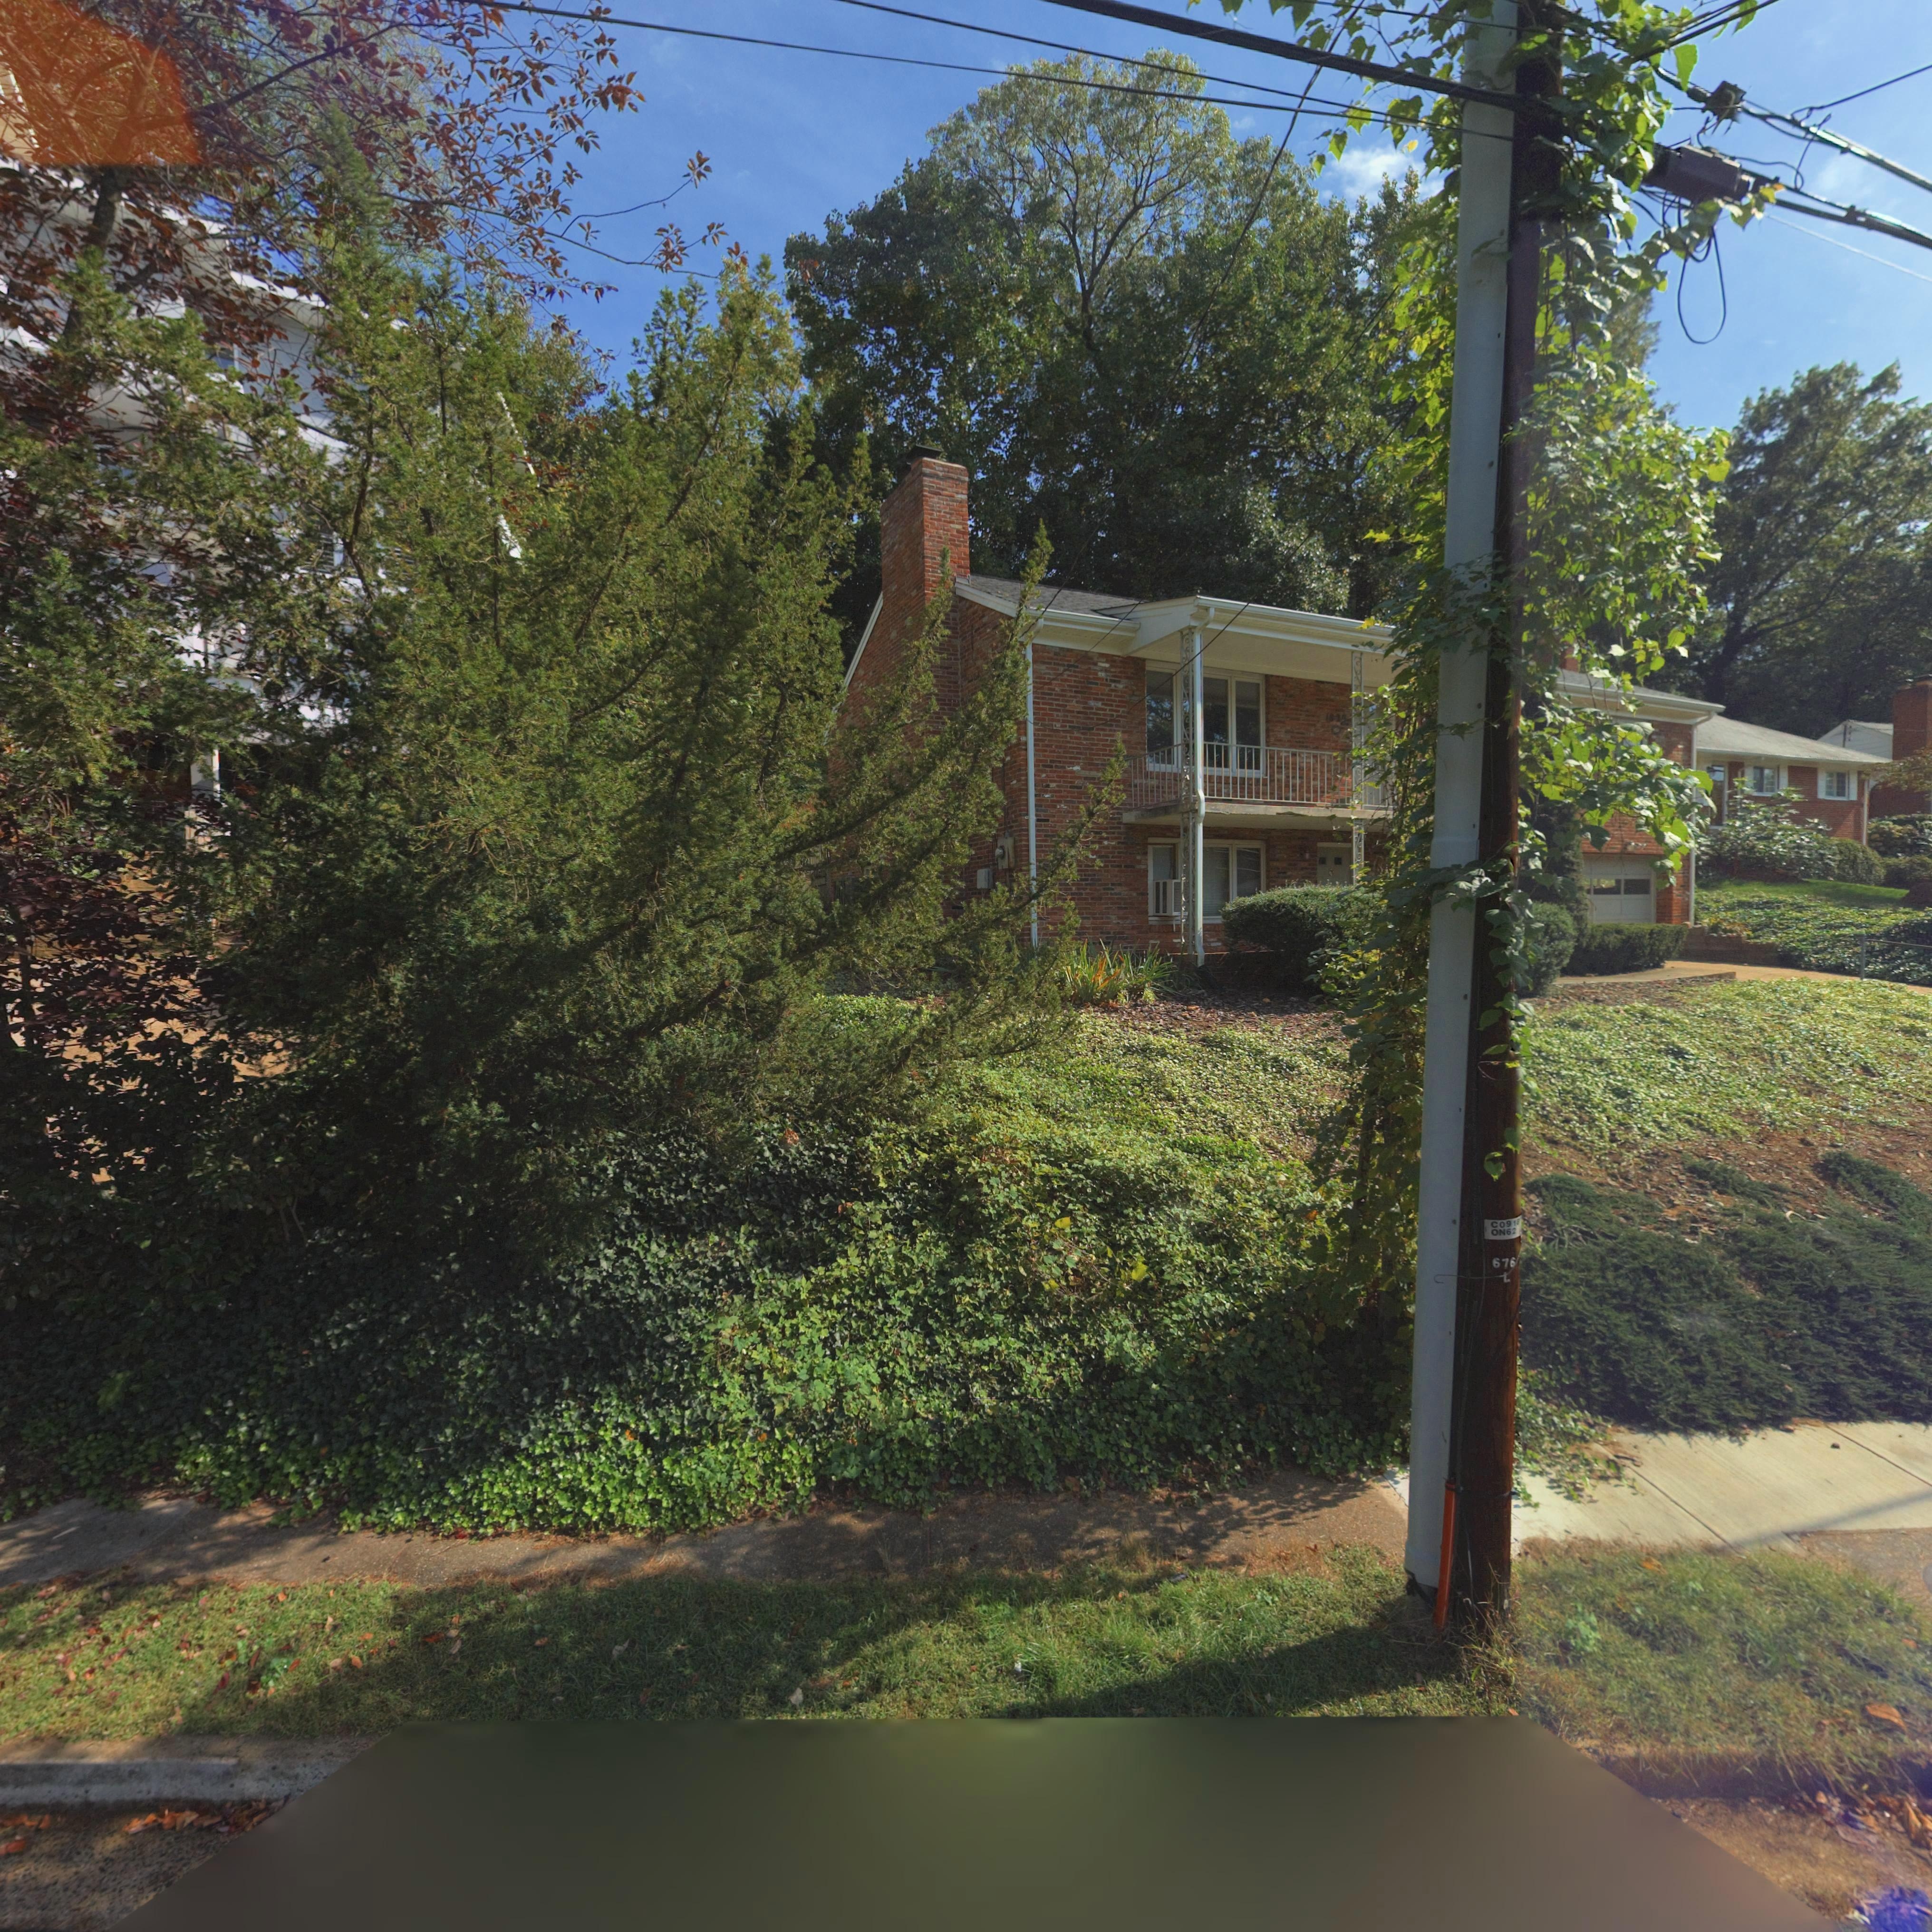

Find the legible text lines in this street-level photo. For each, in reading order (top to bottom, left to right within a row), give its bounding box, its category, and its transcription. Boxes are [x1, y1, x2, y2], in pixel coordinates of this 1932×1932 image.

[1491, 1217, 1520, 1228] None: CO918
[1490, 1227, 1517, 1236] None: ON62
[1491, 1256, 1517, 1269] None: 676
[1503, 1271, 1511, 1284] None: L